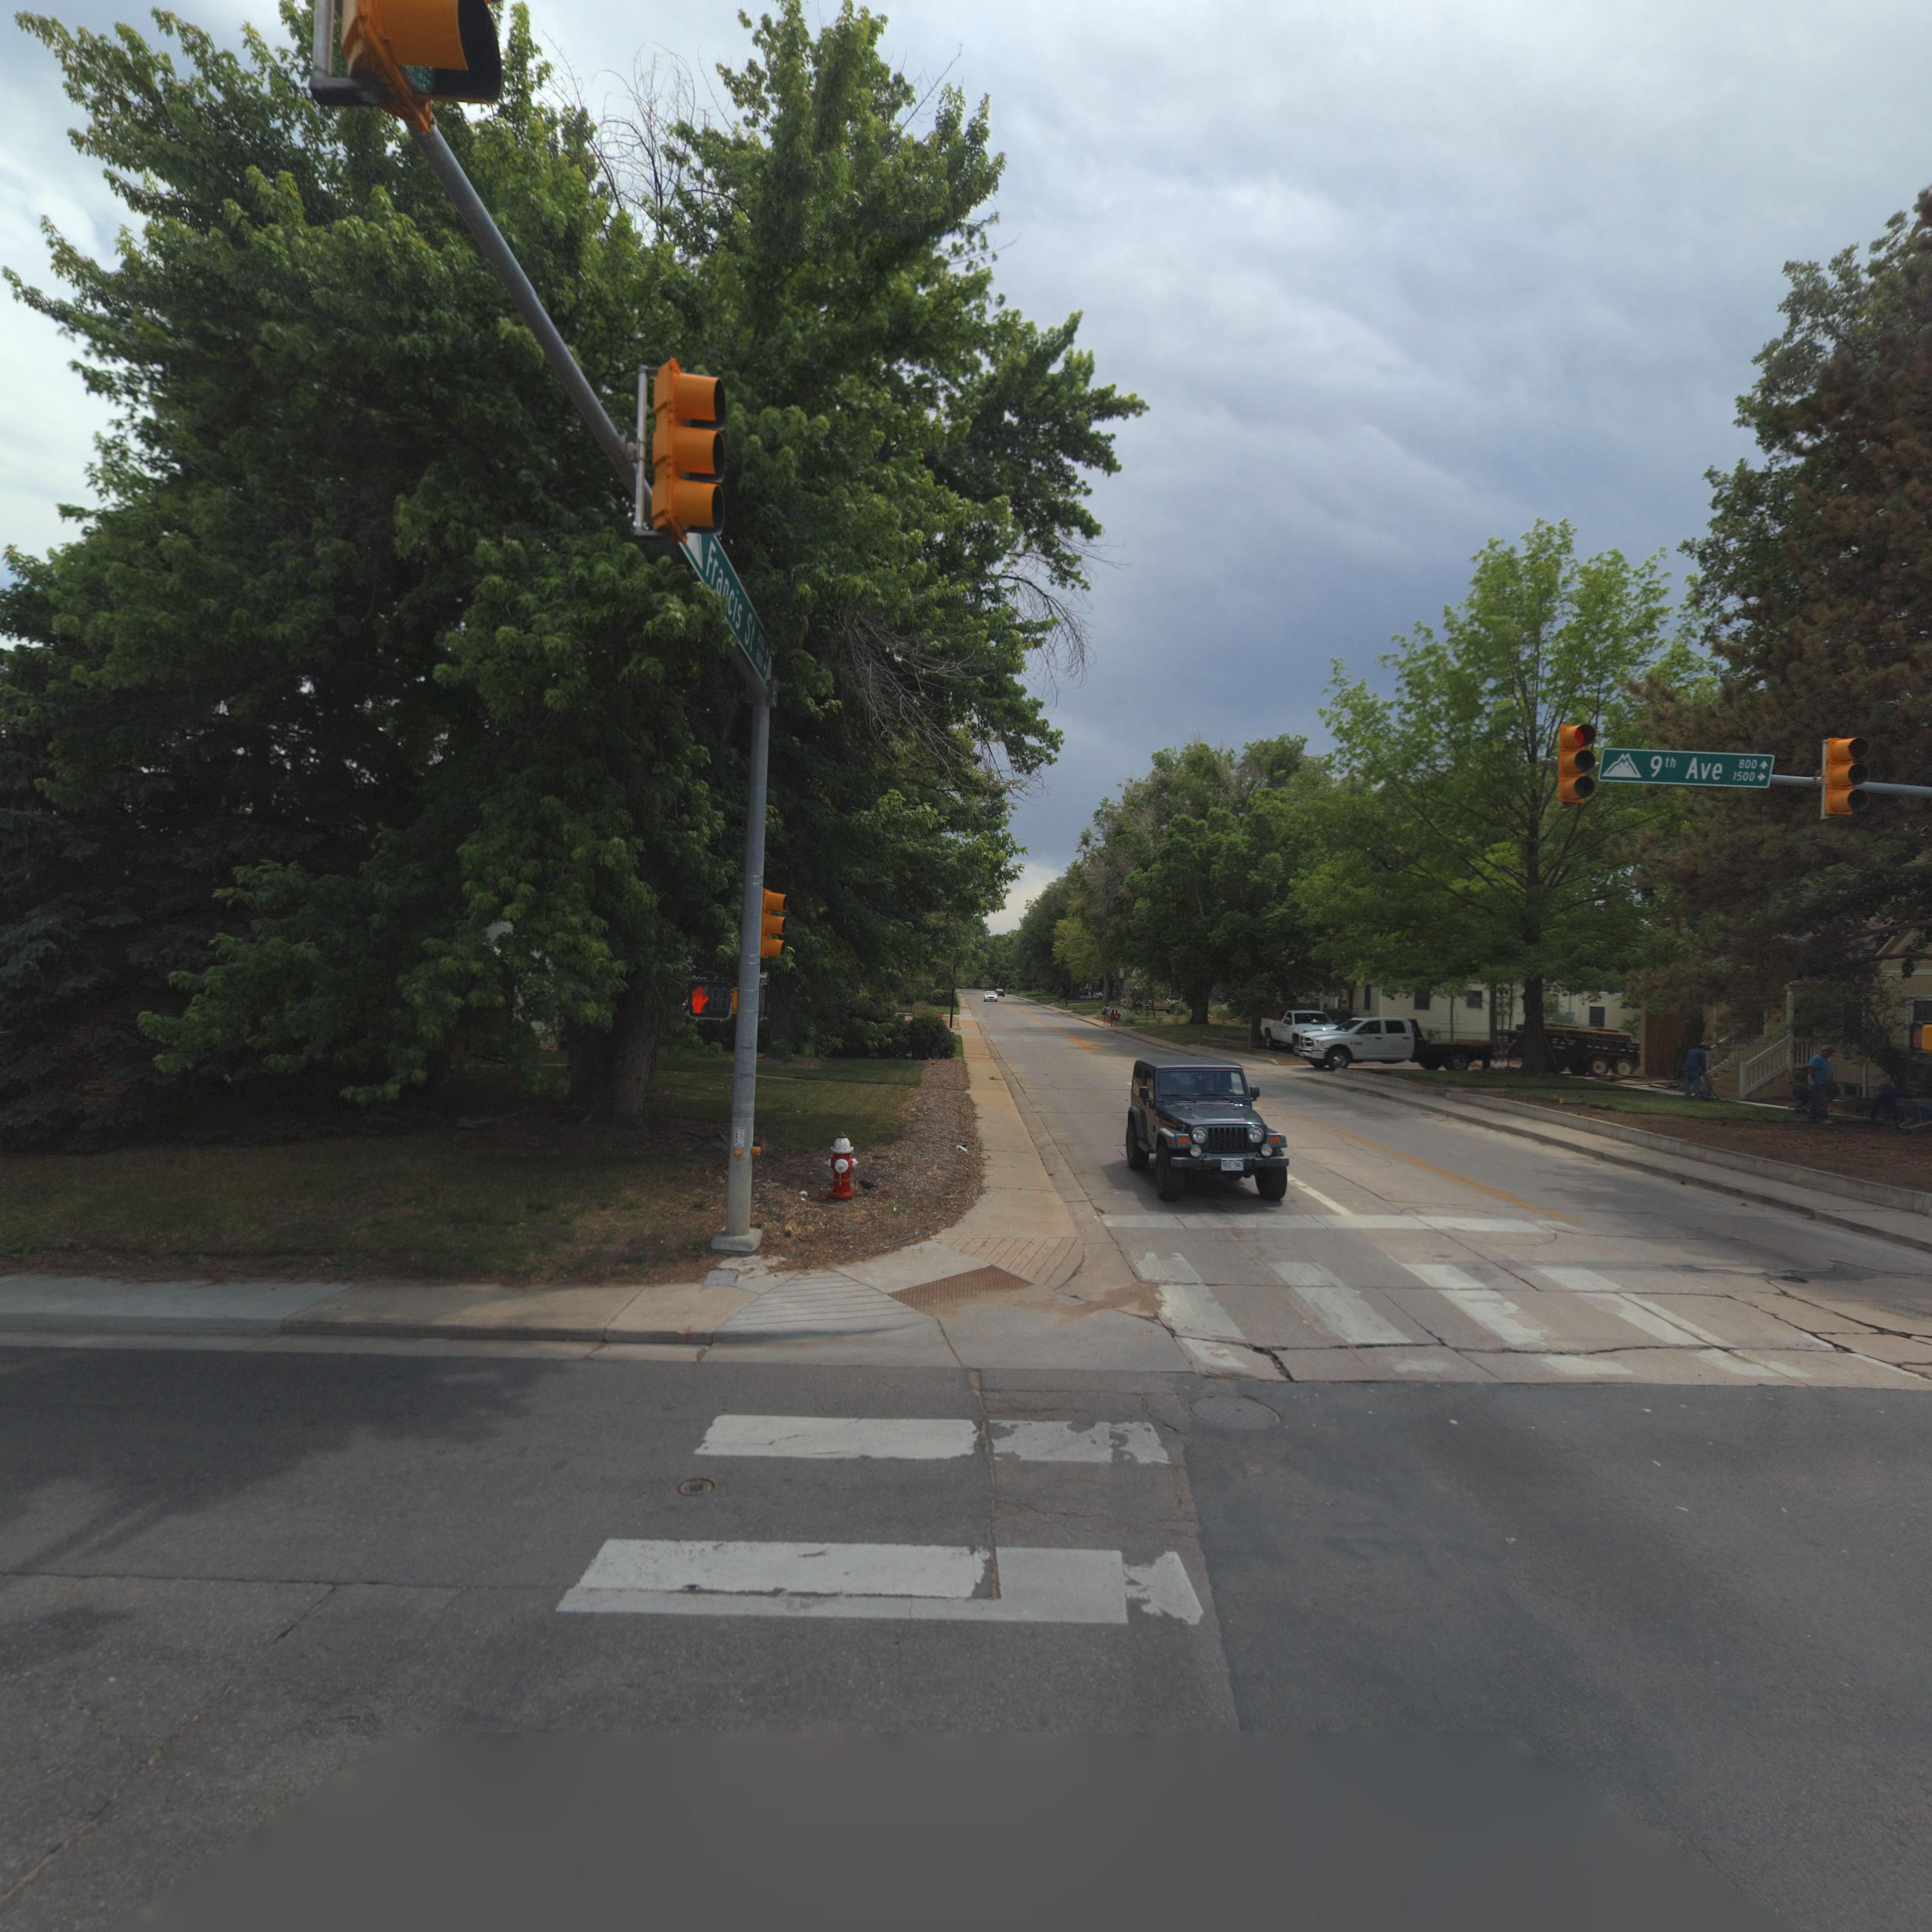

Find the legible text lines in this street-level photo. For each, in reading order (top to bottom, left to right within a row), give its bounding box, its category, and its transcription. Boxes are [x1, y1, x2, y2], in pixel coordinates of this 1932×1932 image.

[705, 537, 757, 654] StreetName: Francis St
[756, 629, 767, 653] StreetNumberRange: 1***
[755, 647, 767, 674] StreetNumberRange: *00 ->
[1649, 754, 1723, 781] StreetName: 9th Ave
[1738, 758, 1758, 769] StreetNumberRange: 800
[1732, 771, 1766, 782] StreetNumberRange: 1500 ->